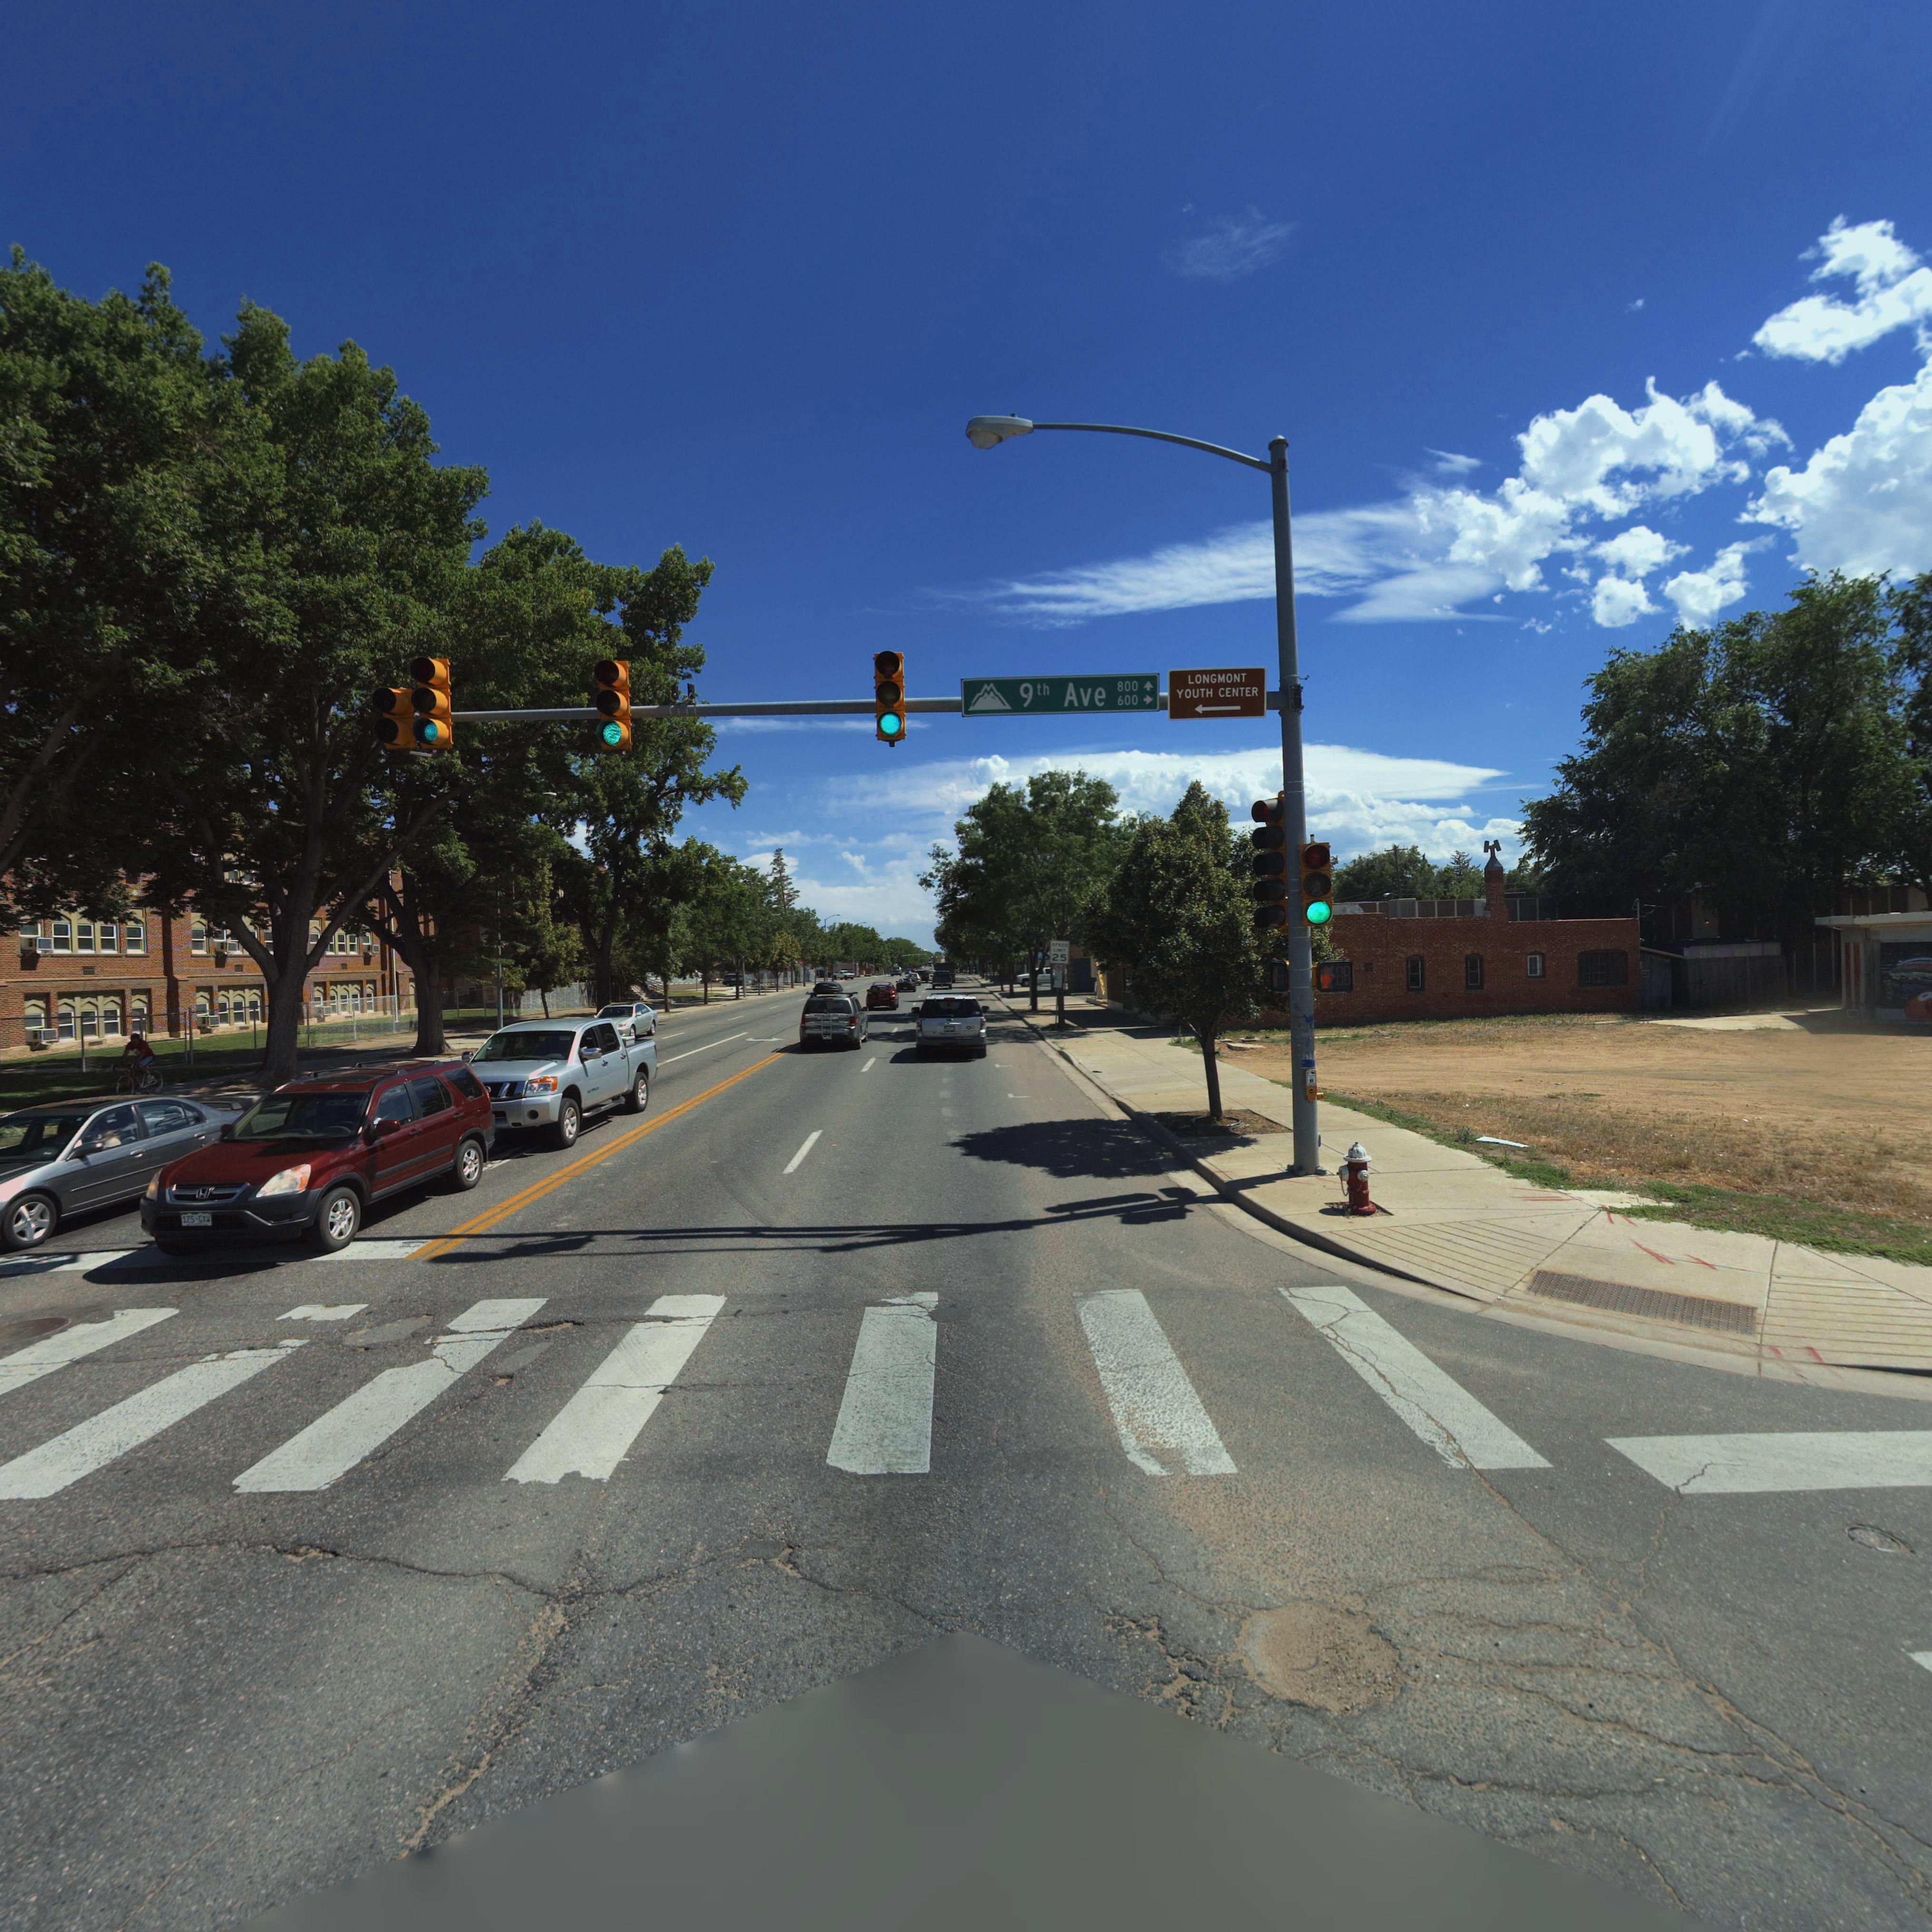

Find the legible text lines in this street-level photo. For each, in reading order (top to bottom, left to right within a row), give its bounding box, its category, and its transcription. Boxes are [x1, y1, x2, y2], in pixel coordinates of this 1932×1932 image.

[1117, 680, 1138, 692] StreetNumberRange: 800
[1018, 681, 1106, 708] StreetName: 9th Ave
[1117, 694, 1154, 705] StreetNumberRange: 600->